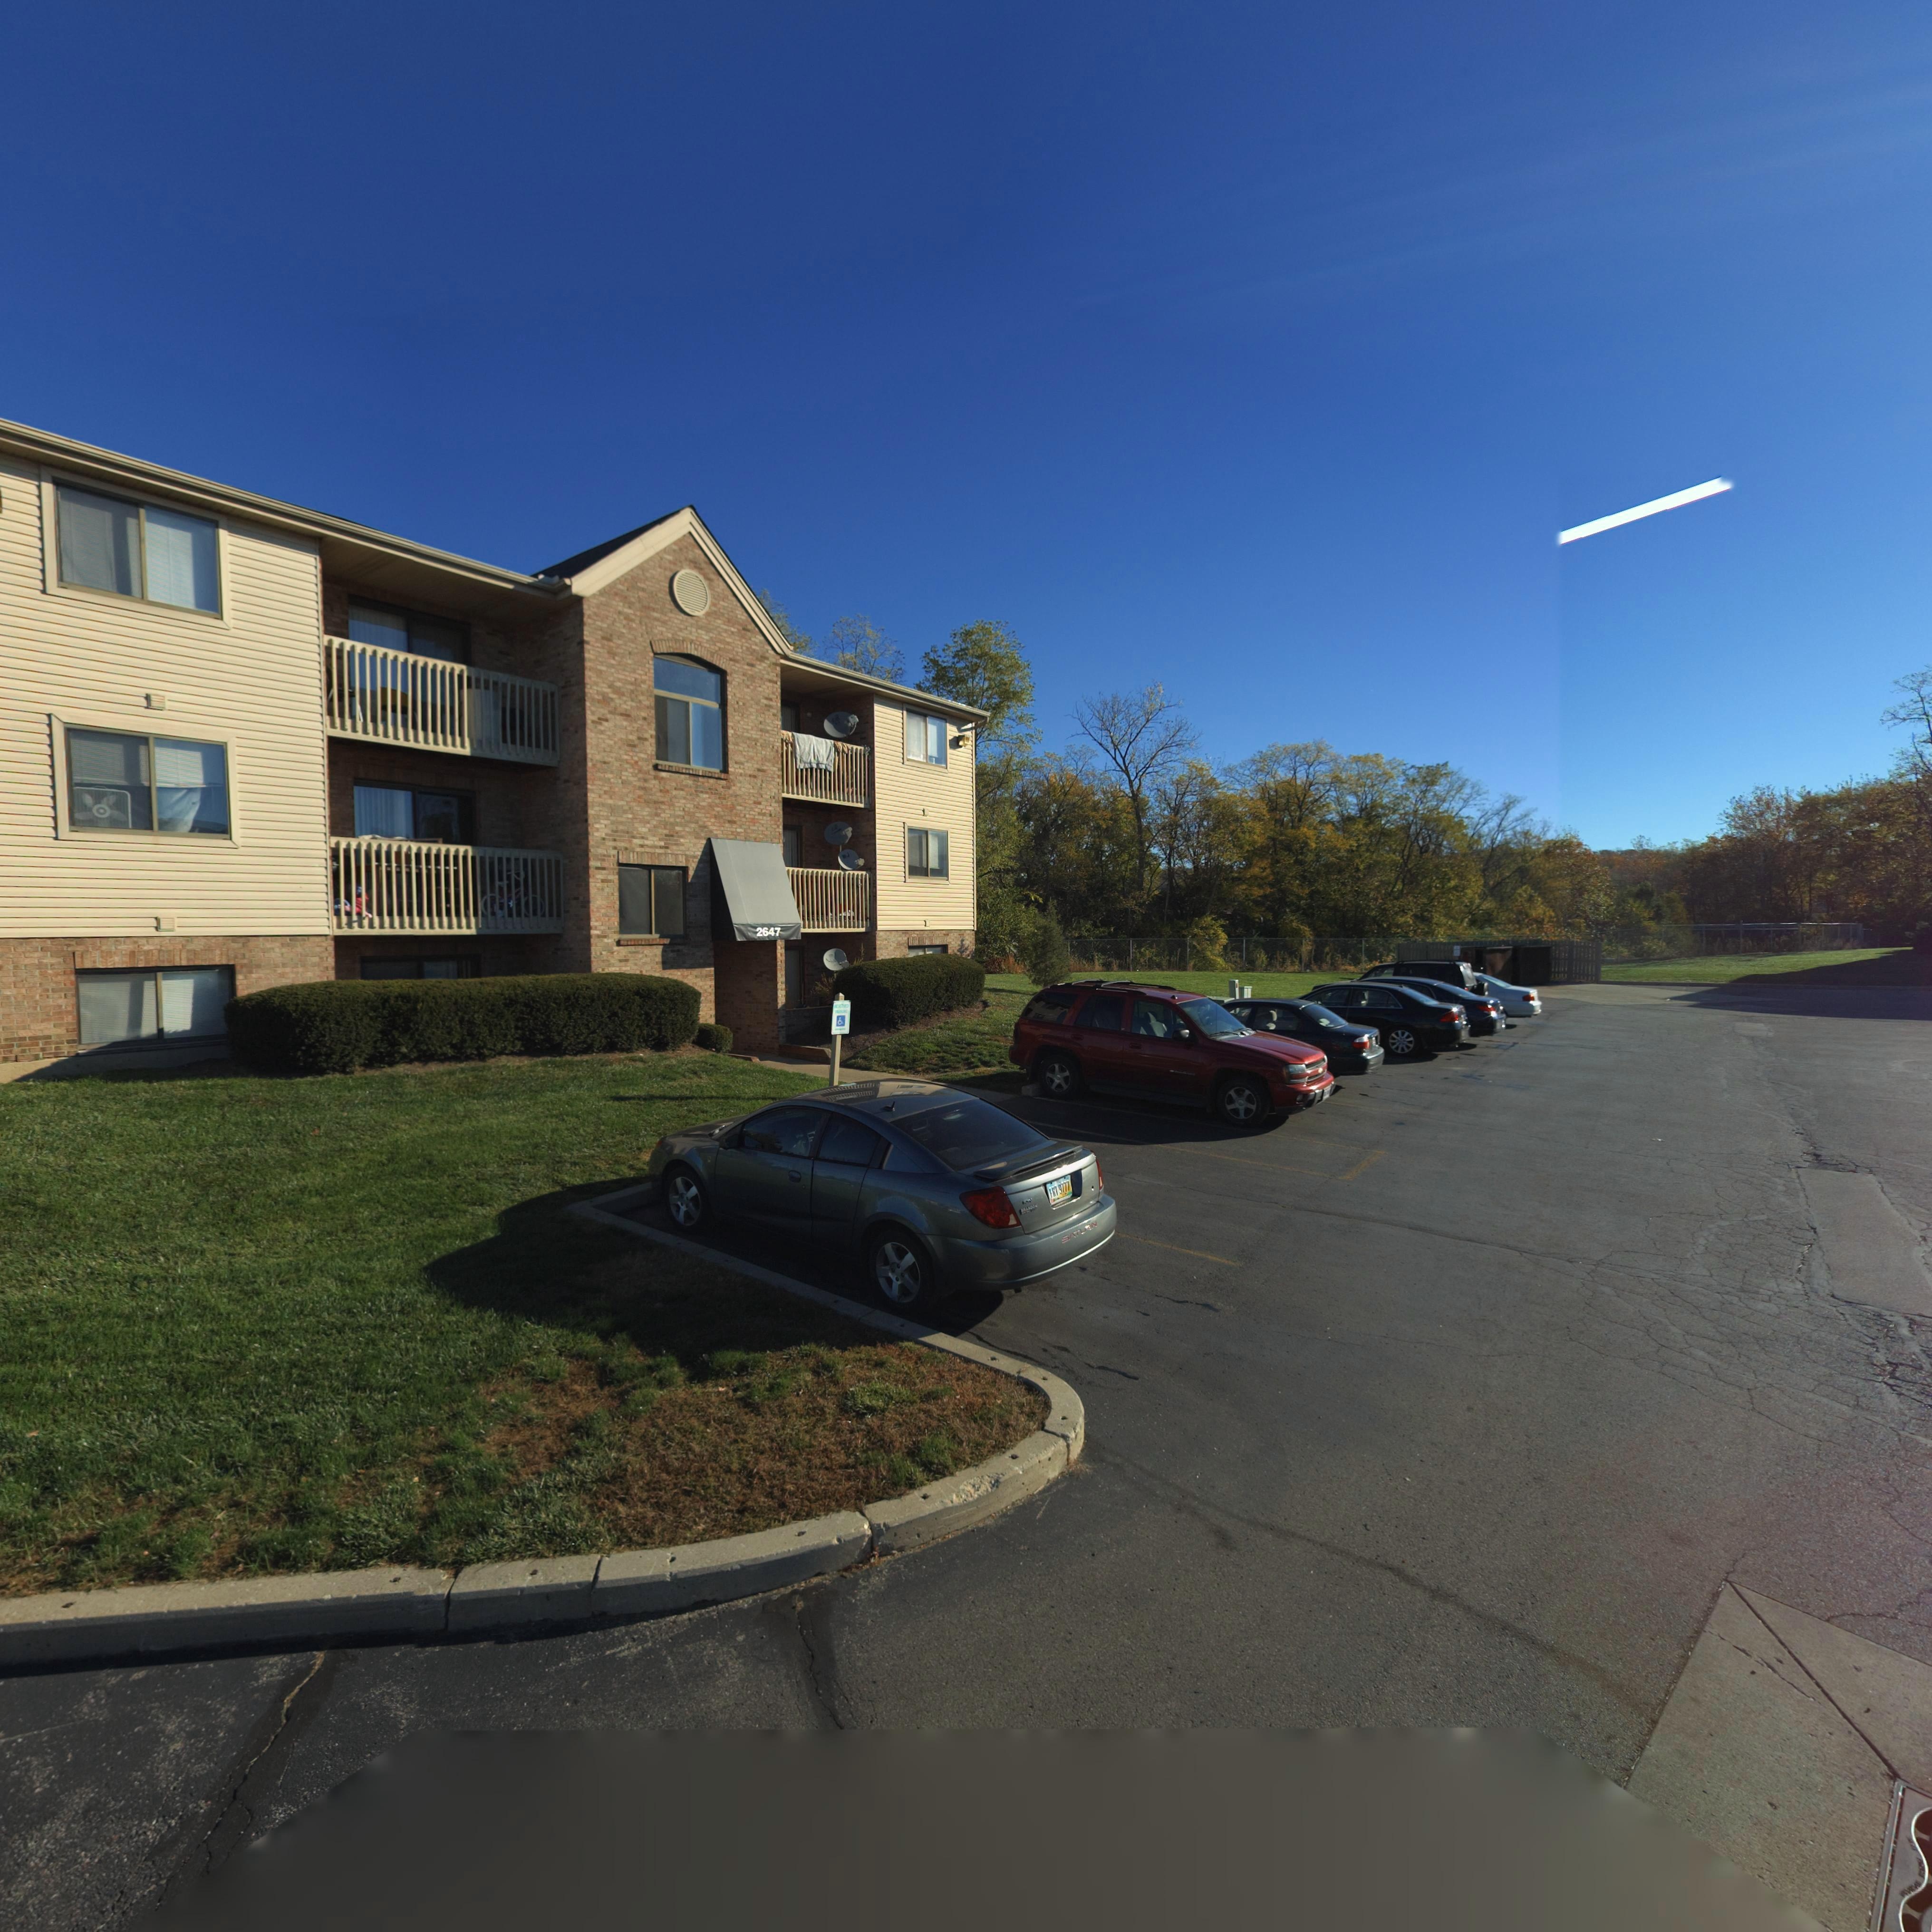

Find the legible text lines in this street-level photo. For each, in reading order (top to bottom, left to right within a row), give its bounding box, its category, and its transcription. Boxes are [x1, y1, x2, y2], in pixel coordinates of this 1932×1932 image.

[755, 926, 782, 937] StreetNumber: 2647